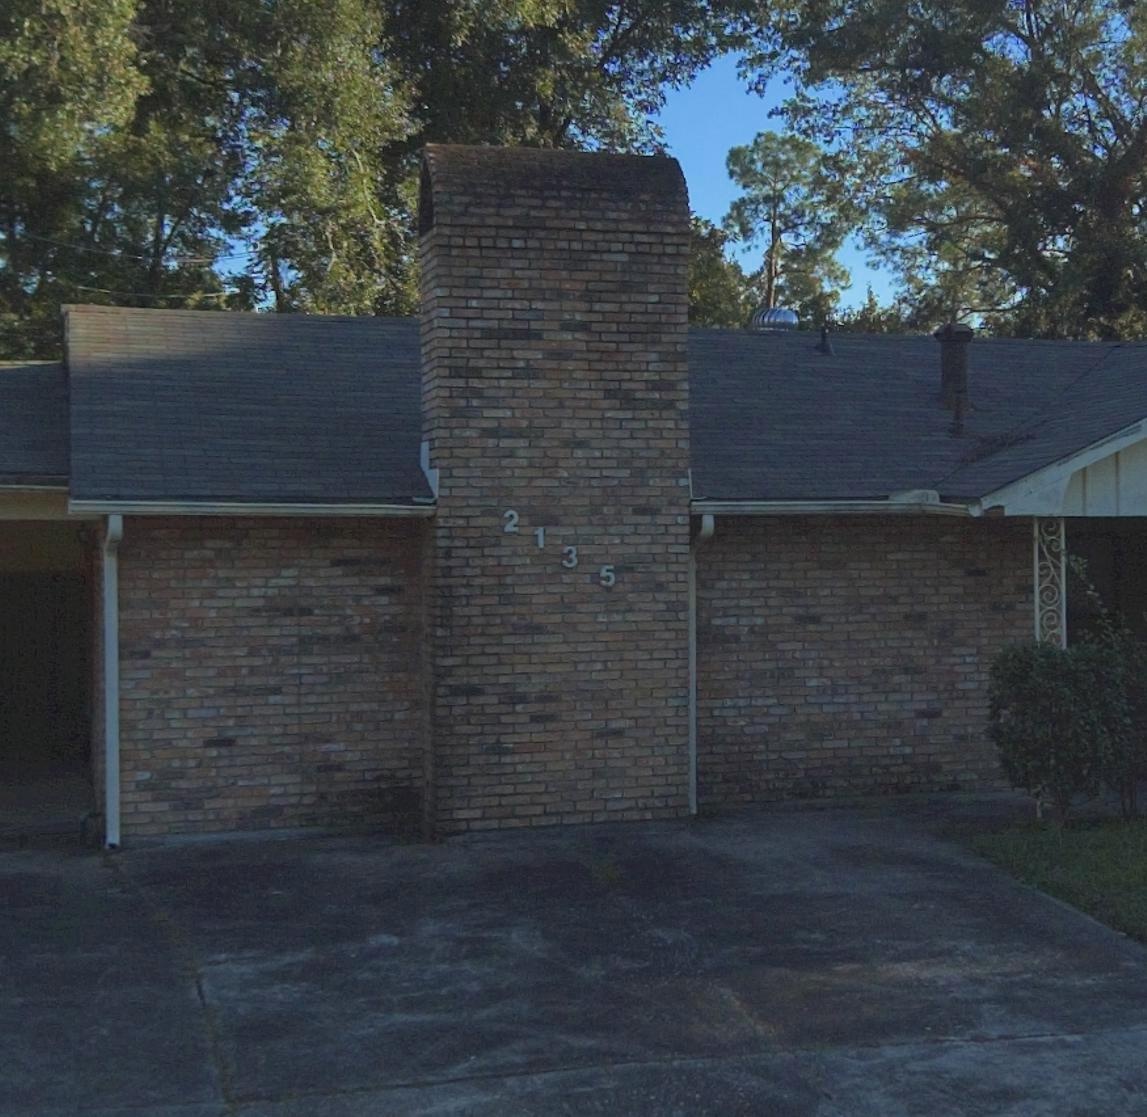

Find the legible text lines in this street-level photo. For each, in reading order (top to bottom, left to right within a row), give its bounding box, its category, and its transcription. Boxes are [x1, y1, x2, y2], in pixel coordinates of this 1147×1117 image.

[503, 508, 616, 589] StreetNumber: 2135